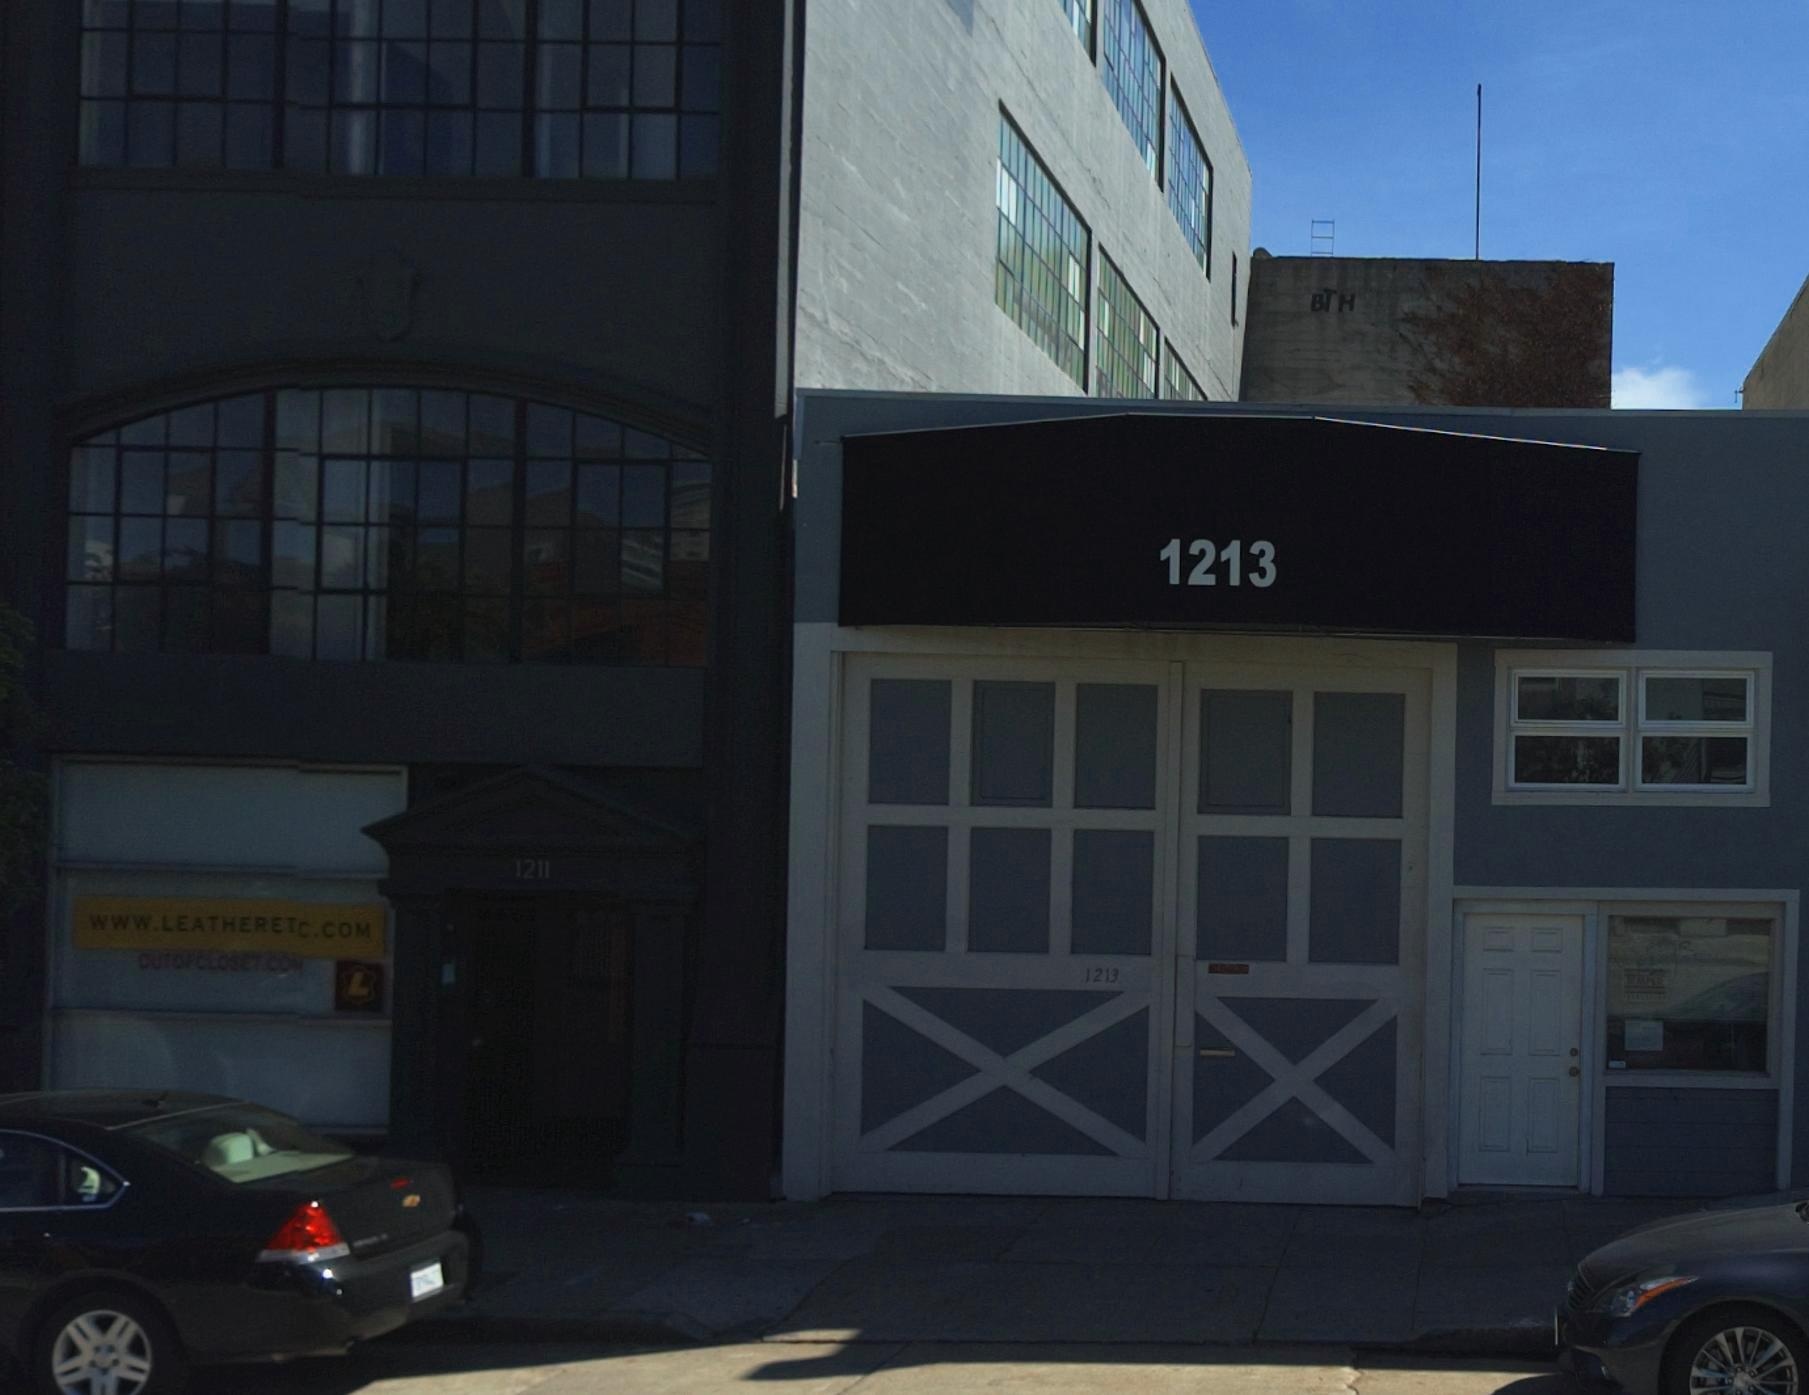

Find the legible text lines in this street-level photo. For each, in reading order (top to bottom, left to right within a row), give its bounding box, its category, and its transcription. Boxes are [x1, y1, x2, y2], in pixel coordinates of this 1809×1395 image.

[1306, 282, 1361, 319] None: BTH
[1154, 532, 1284, 592] StreetNumber: 1213
[510, 855, 556, 884] StreetNumber: 1211
[84, 907, 376, 944] None: www.LEATHERETC.COM
[134, 949, 310, 981] None: OUTOFCLOSET.COM
[341, 965, 374, 1000] None: L
[1081, 964, 1123, 987] StreetNumber: 1213